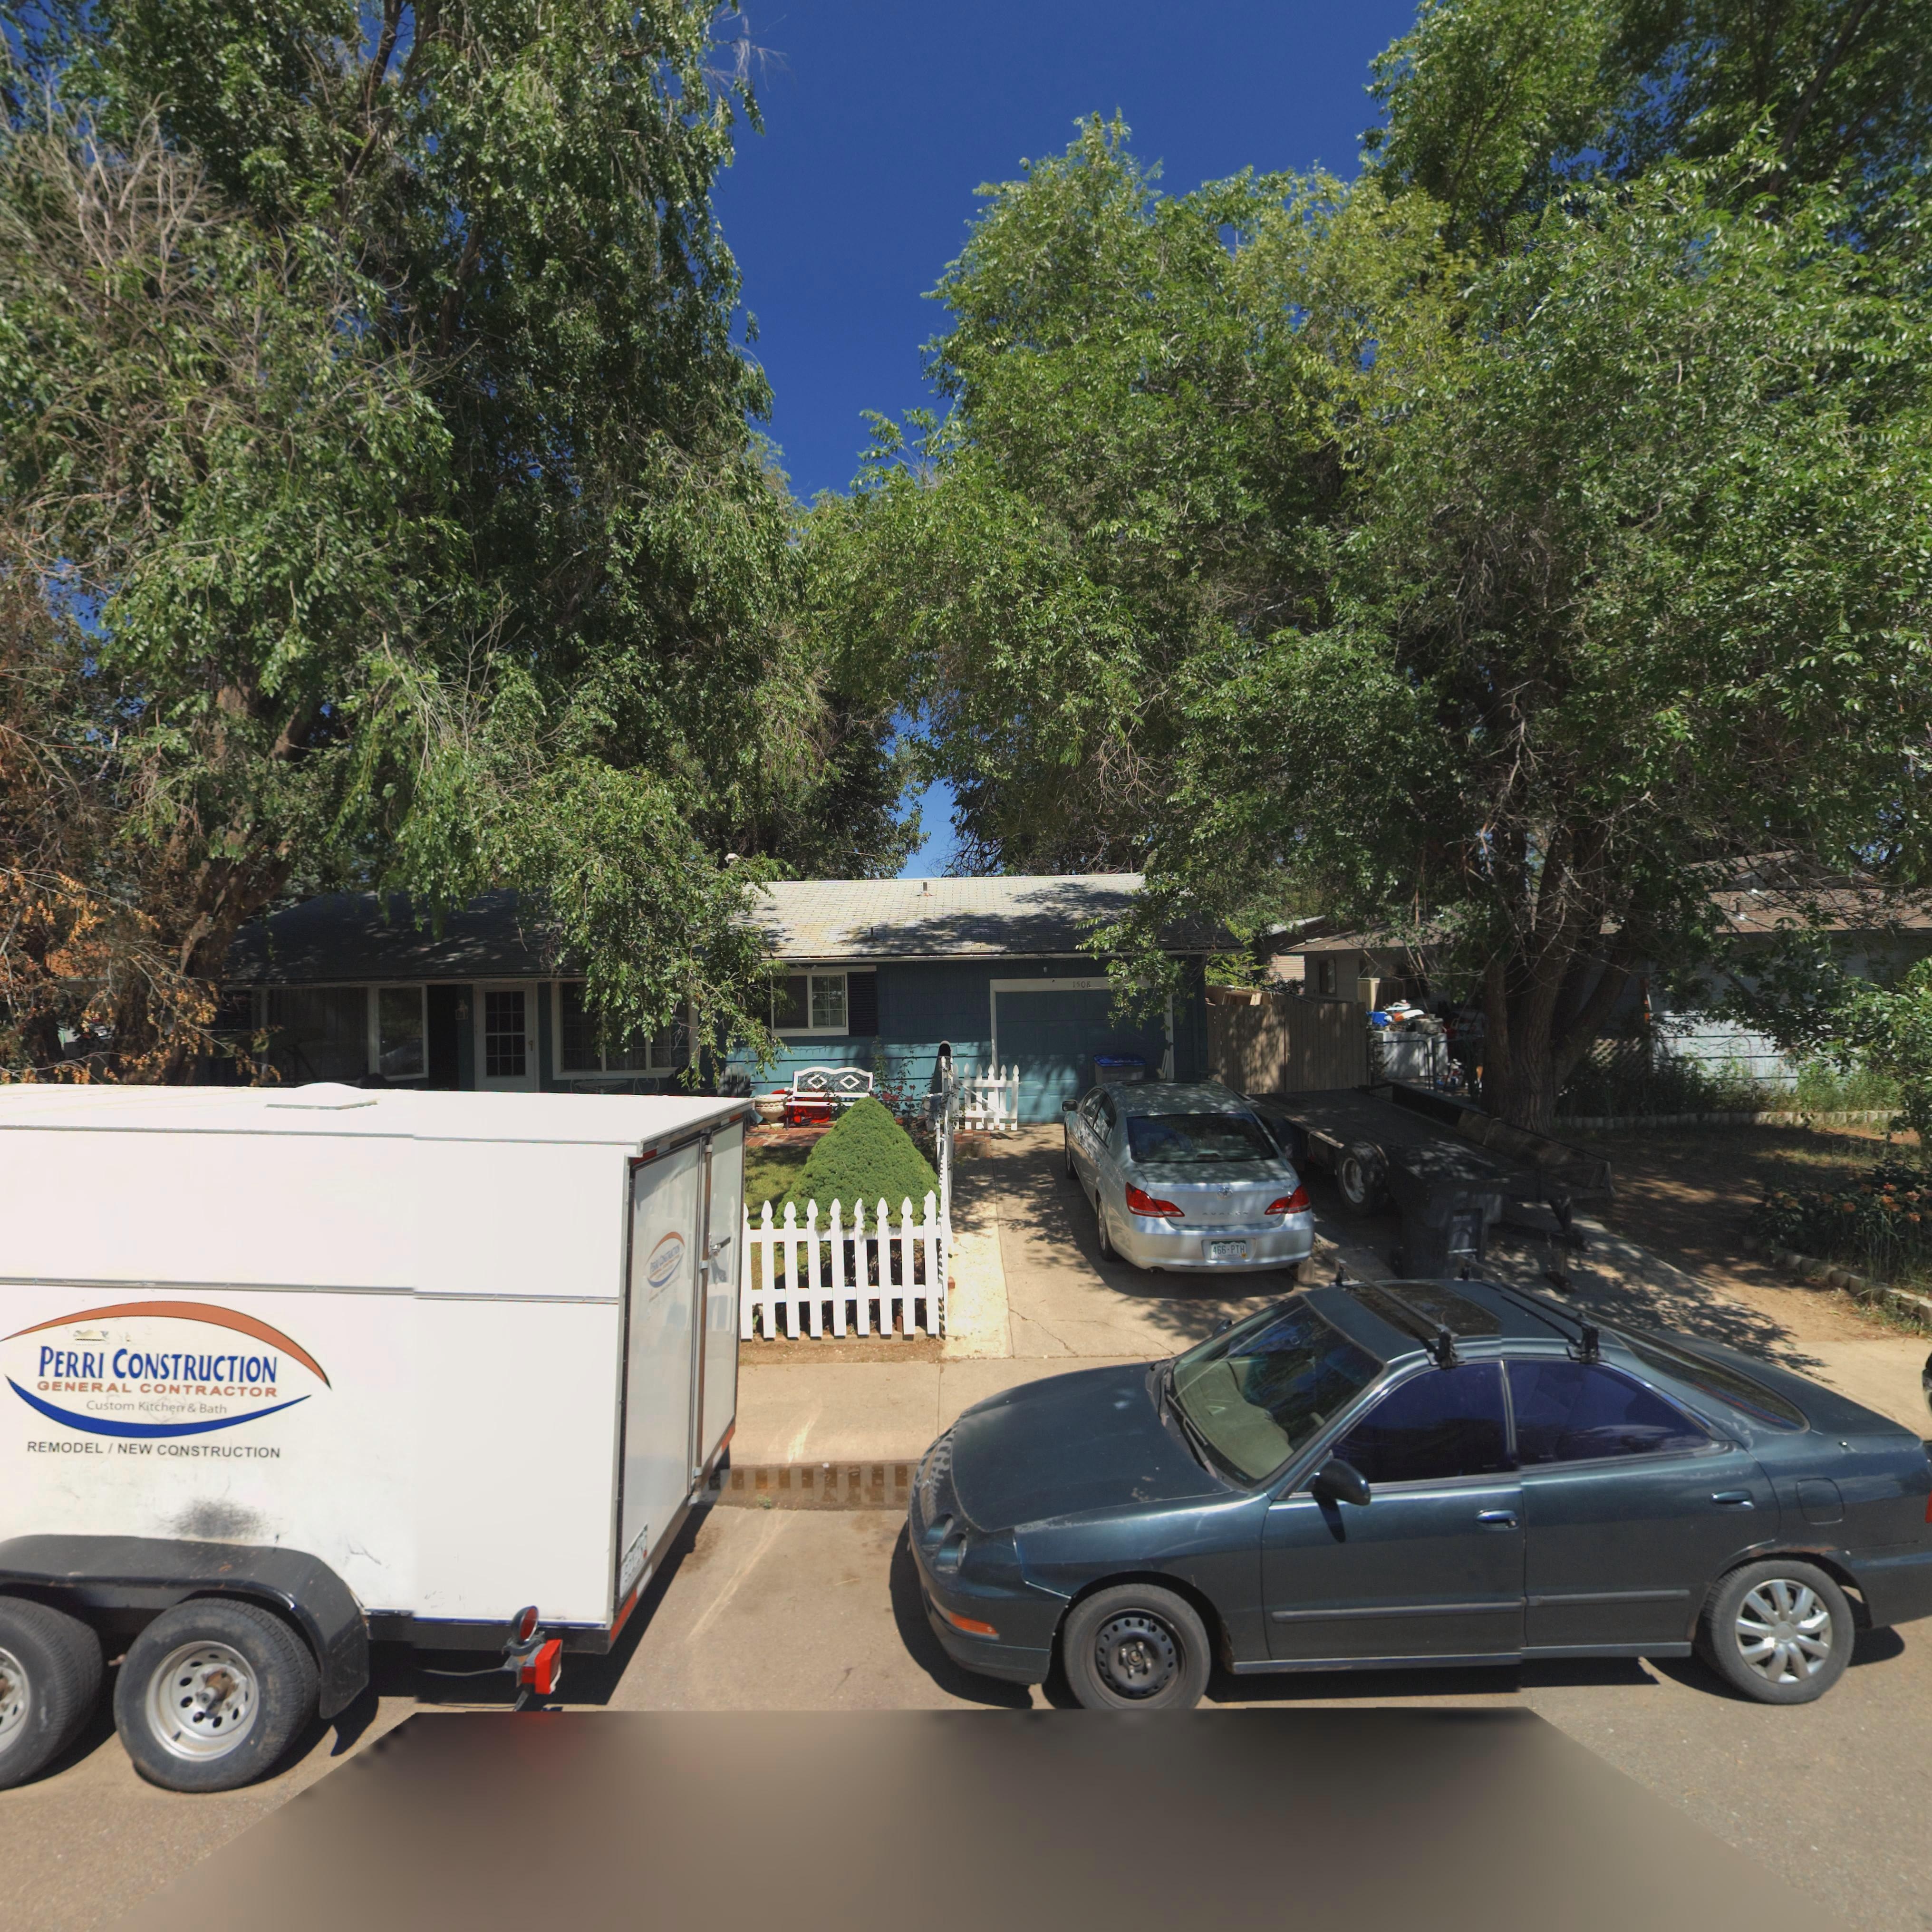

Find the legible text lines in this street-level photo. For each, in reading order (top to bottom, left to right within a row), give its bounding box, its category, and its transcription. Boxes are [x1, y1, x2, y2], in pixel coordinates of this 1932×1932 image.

[1072, 980, 1090, 988] StreetNumber: 1508